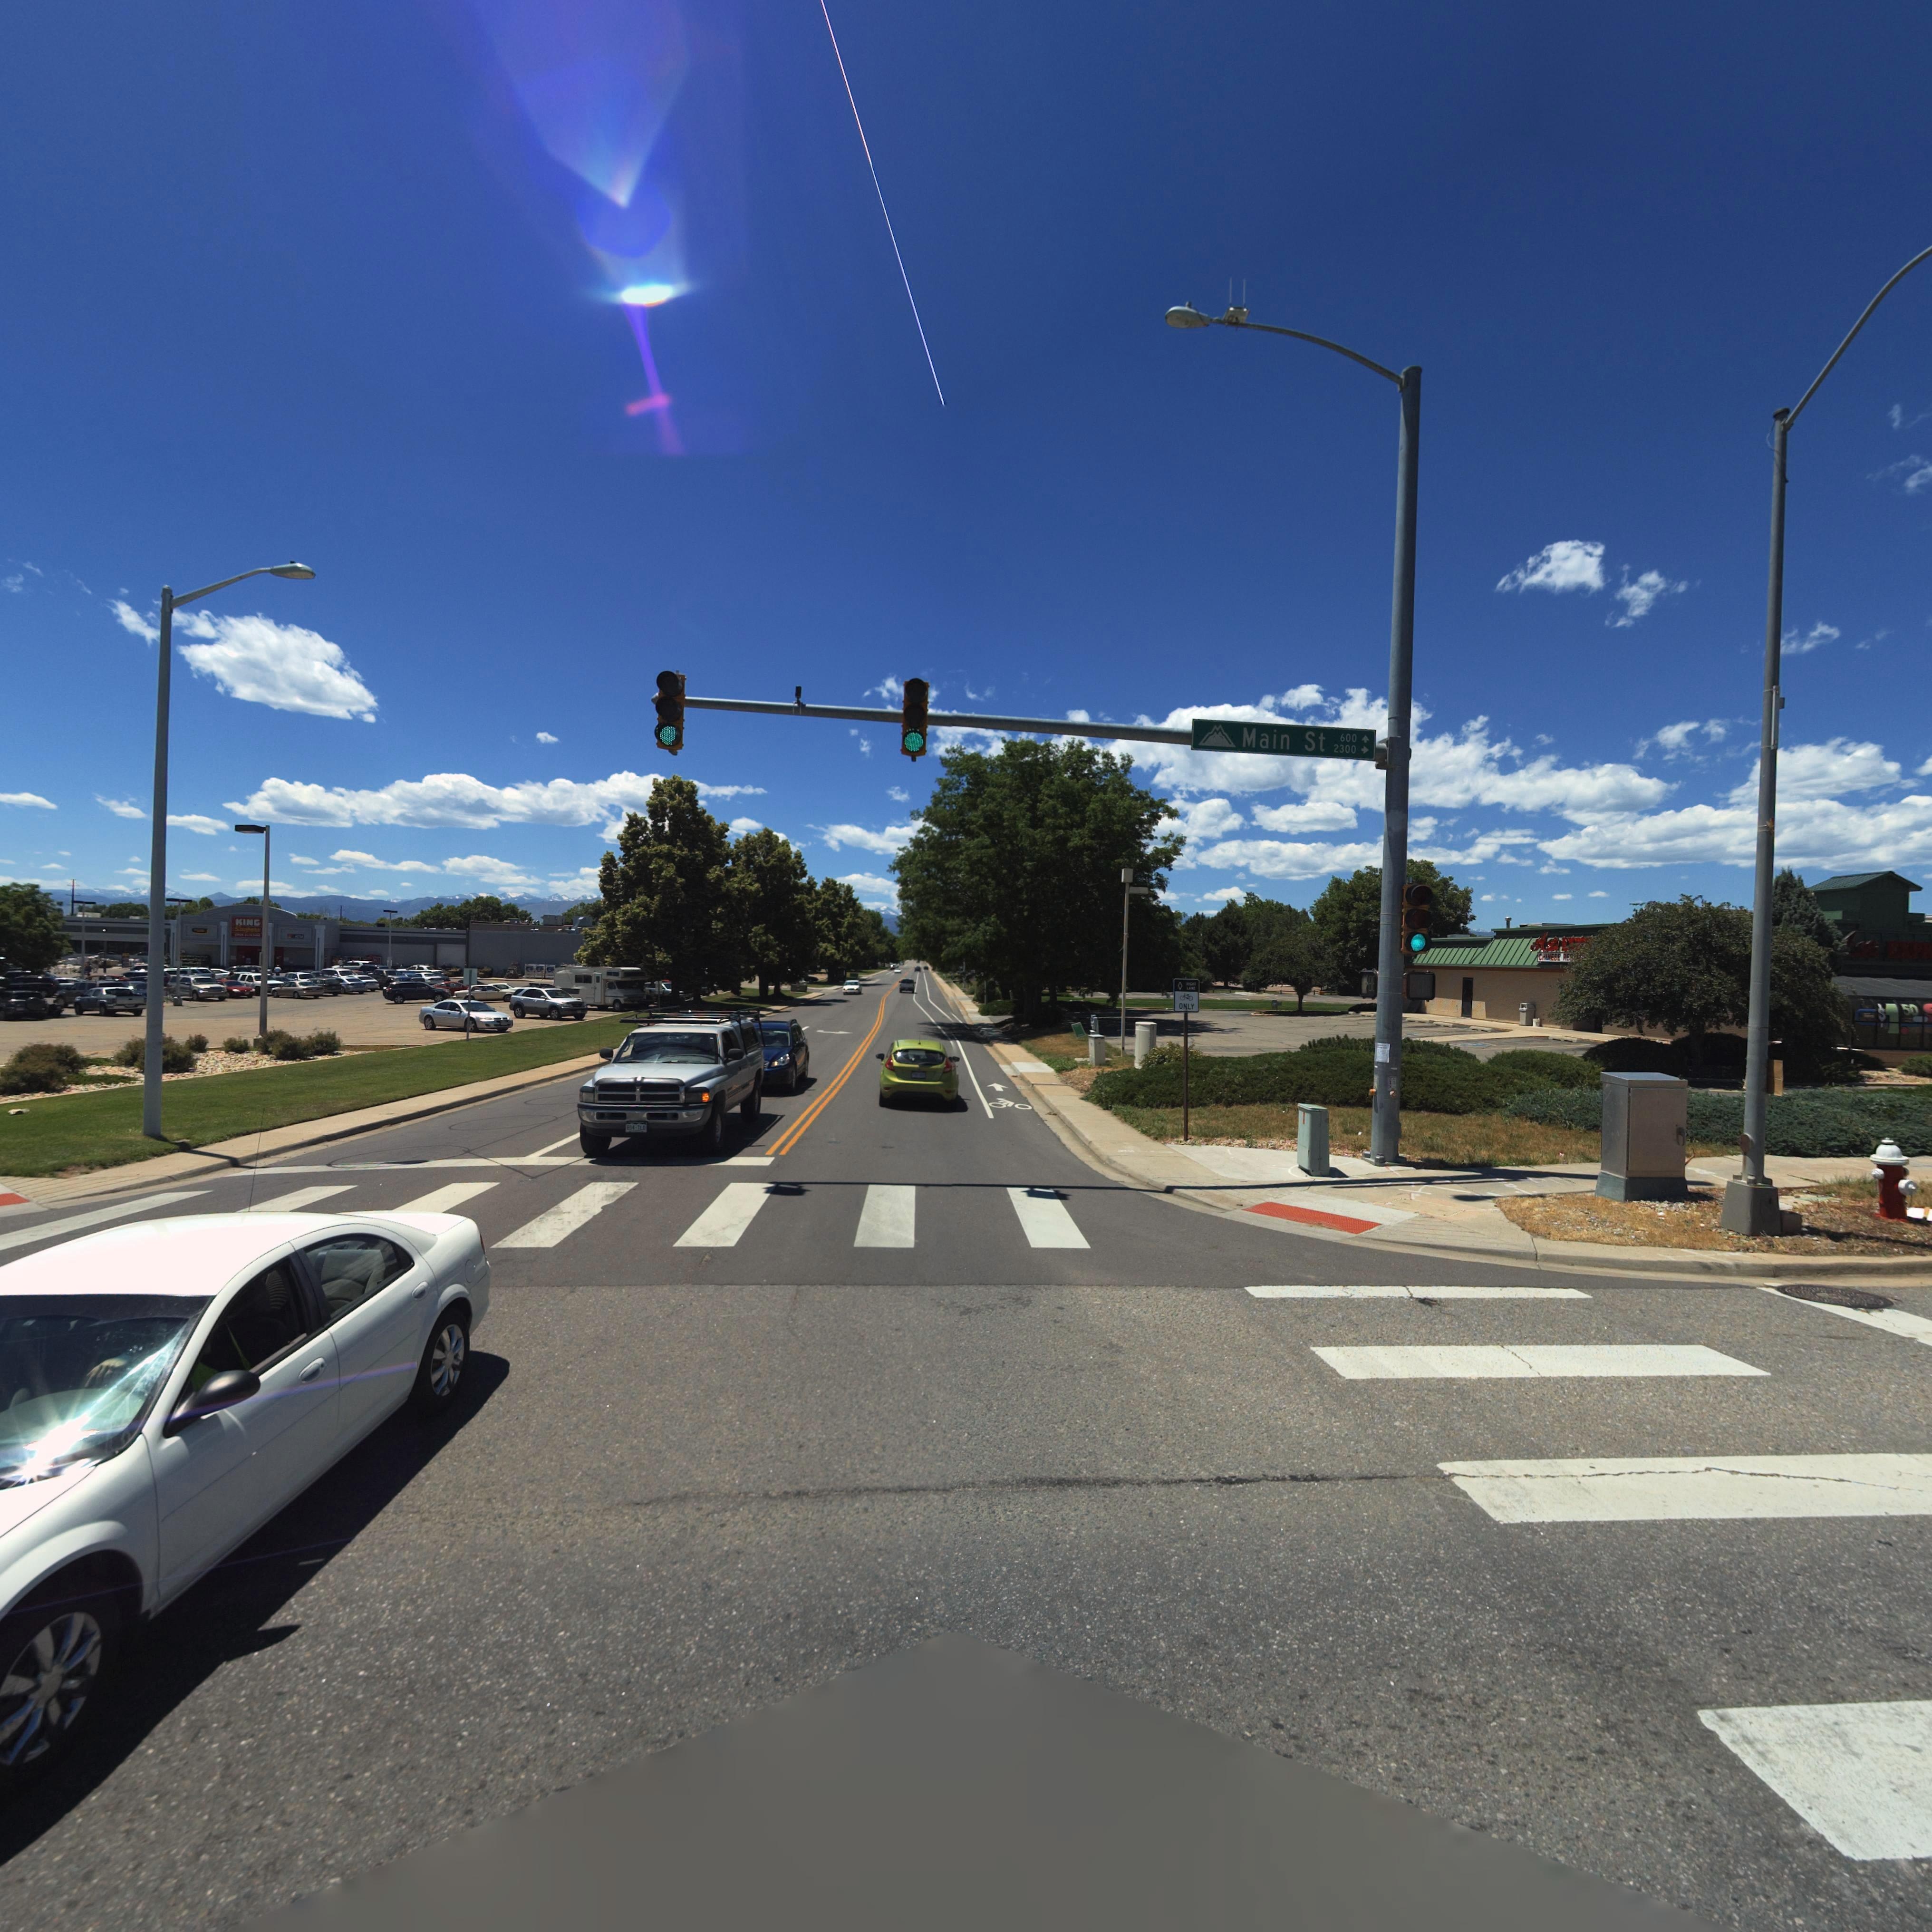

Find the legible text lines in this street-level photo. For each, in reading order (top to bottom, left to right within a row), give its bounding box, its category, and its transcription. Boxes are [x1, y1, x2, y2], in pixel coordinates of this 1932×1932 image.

[1241, 726, 1326, 753] StreetName: Main St
[1339, 733, 1357, 743] StreetNumberRange: 600
[1333, 743, 1370, 754] StreetNumberRange: 2300->
[235, 918, 260, 926] BusinessName: KING
[234, 925, 260, 933] BusinessName: Soop**s
[1529, 930, 1592, 952] BusinessName: A** *****
[1538, 953, 1574, 961] BusinessName: CHINESE RES